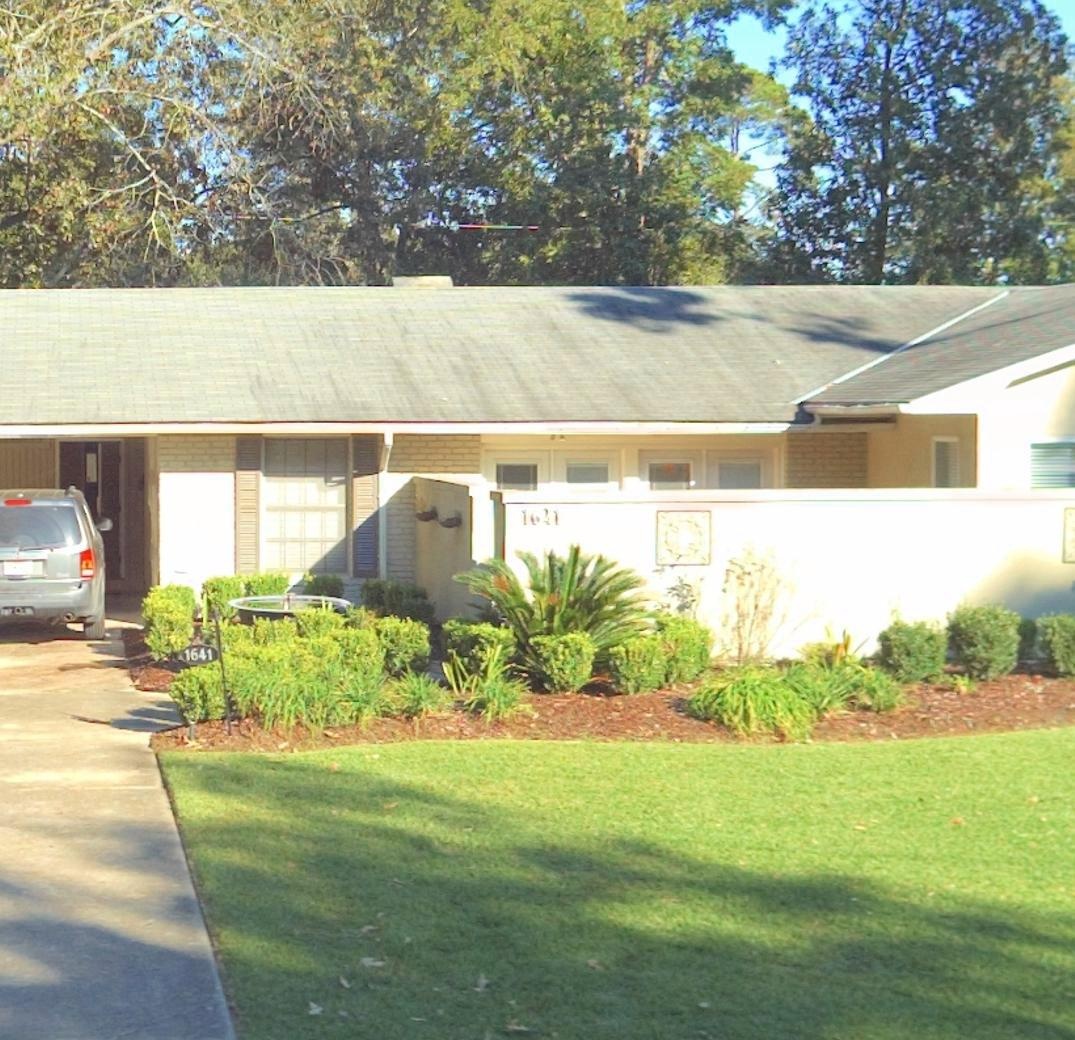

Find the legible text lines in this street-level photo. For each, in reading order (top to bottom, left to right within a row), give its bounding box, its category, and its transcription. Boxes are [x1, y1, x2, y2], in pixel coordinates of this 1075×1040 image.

[519, 506, 562, 527] StreetNumber: 1641
[181, 646, 213, 662] StreetNumber: 1641